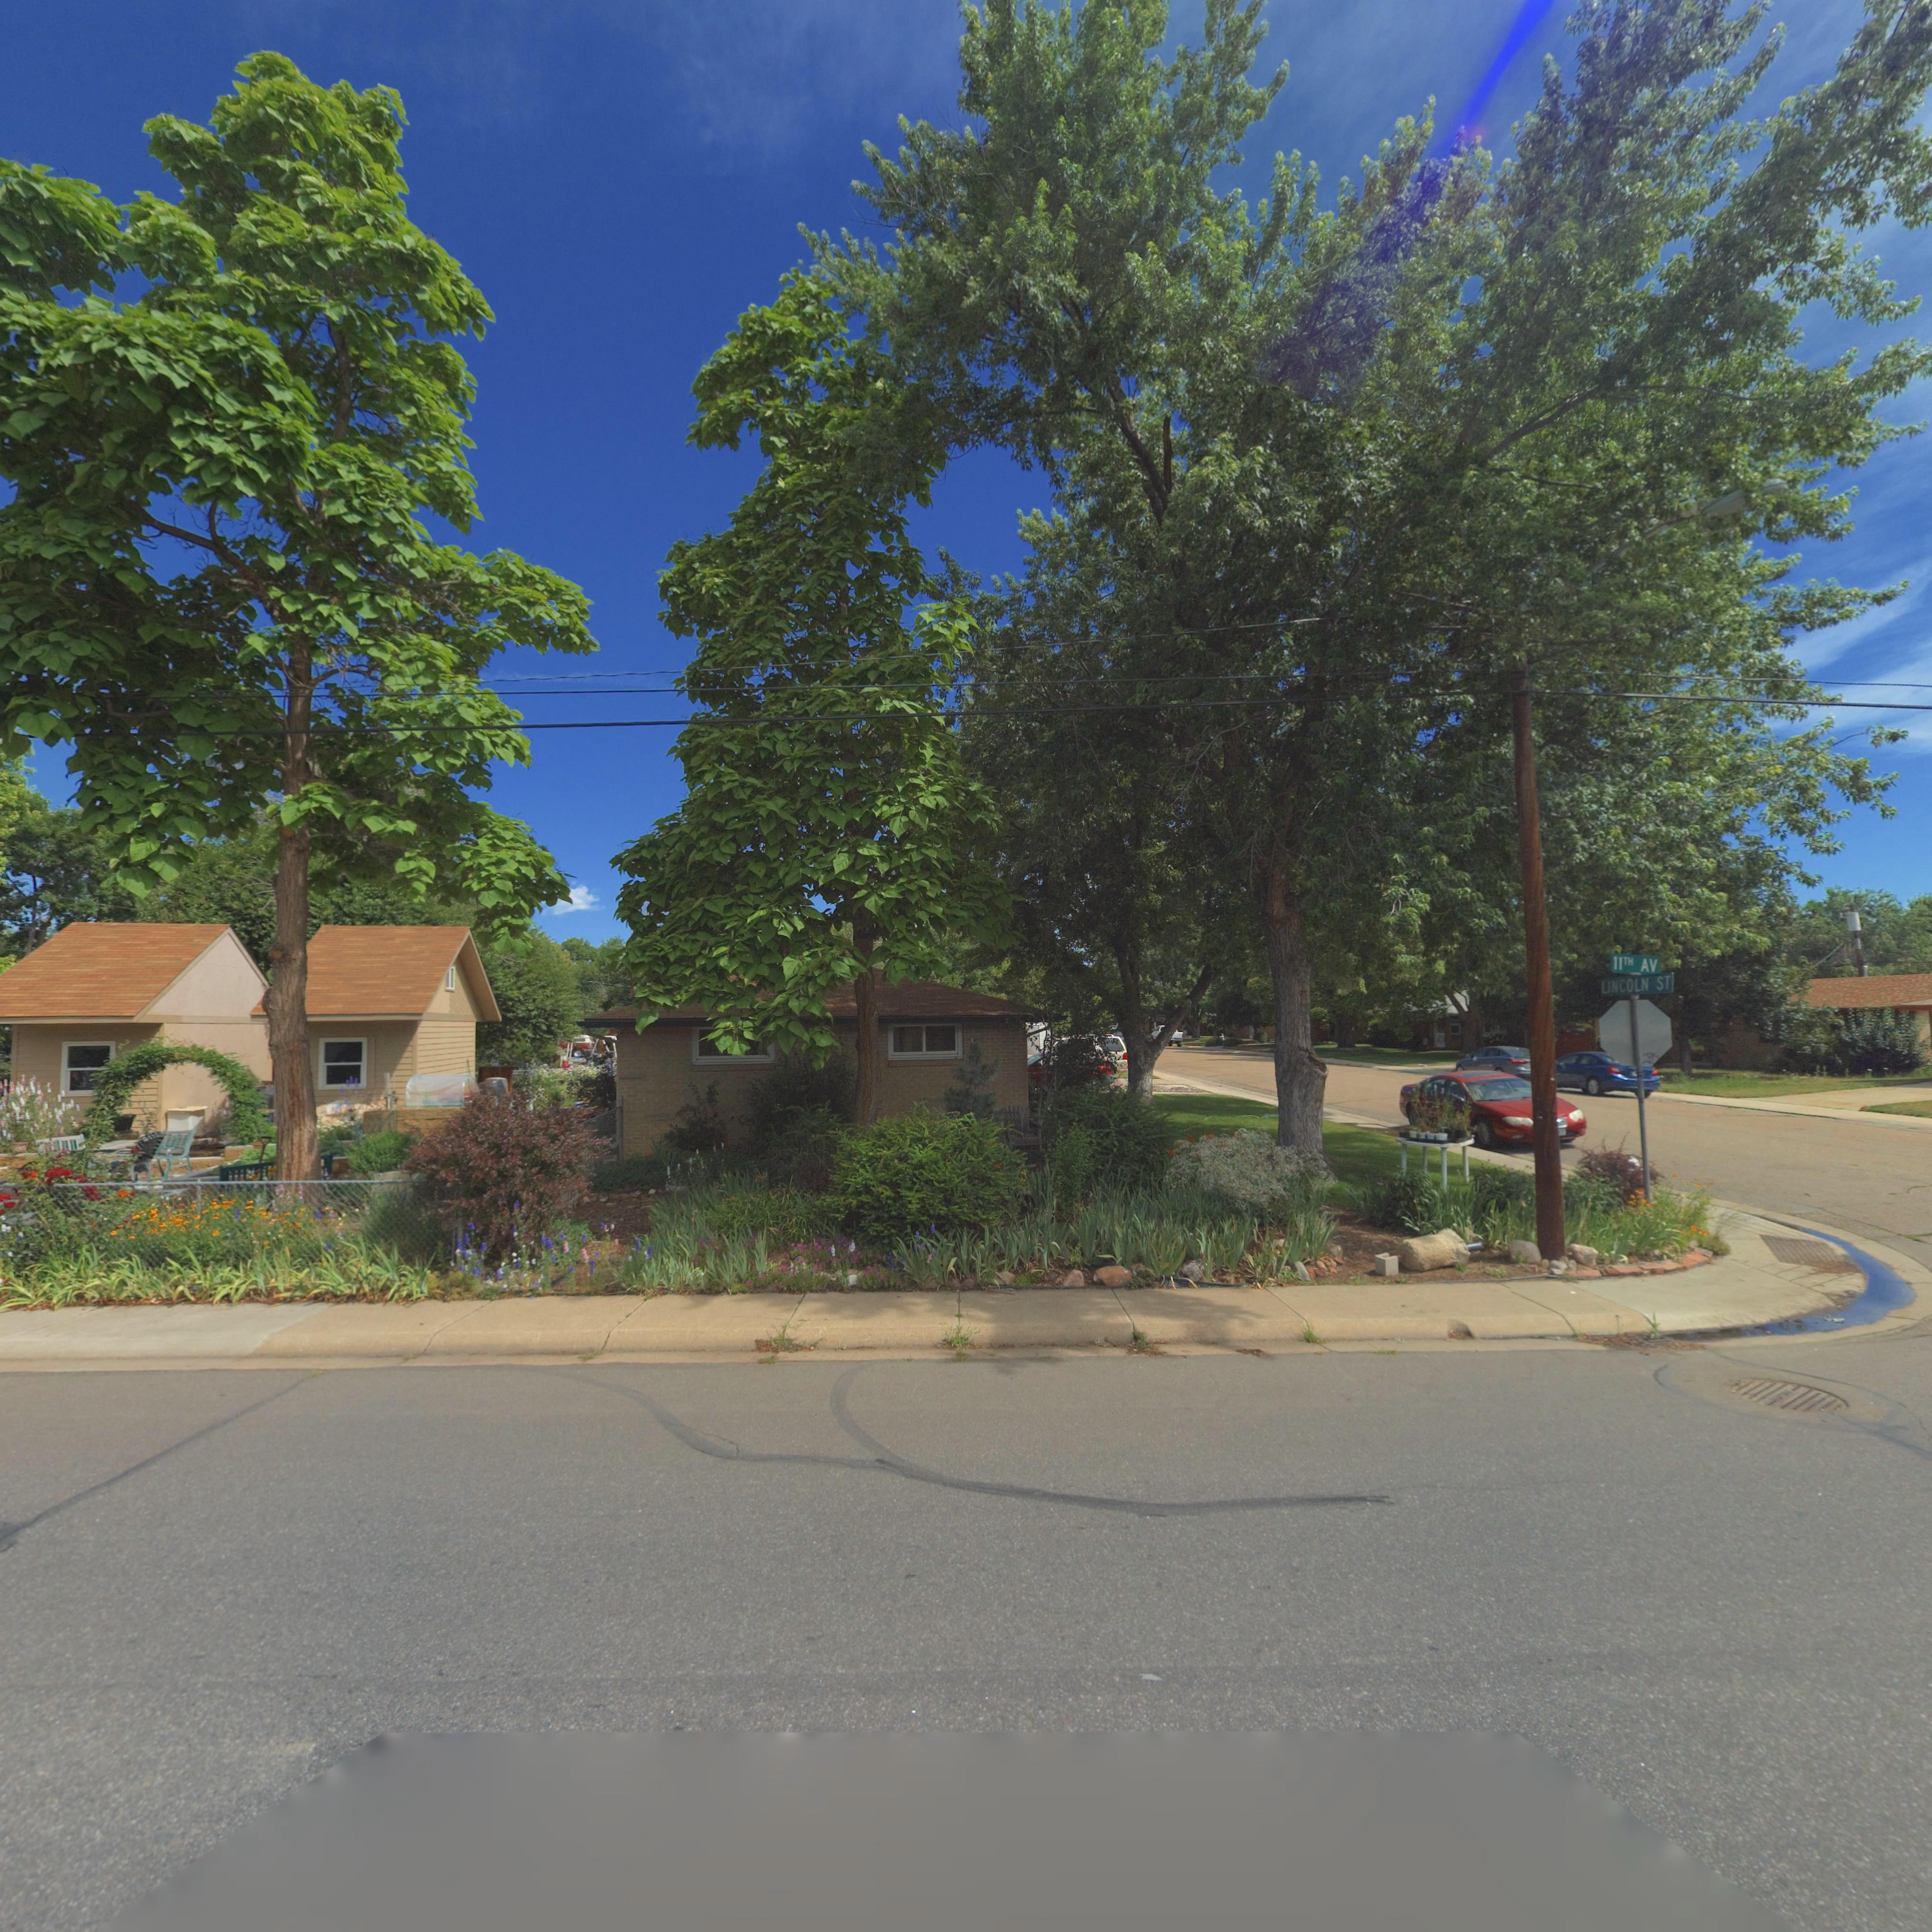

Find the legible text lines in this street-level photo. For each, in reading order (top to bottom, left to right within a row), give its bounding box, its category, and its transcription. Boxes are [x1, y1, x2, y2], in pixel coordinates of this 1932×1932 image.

[1613, 956, 1658, 973] StreetName: 11TH AV
[1601, 975, 1671, 994] StreetName: LINCOLN ST